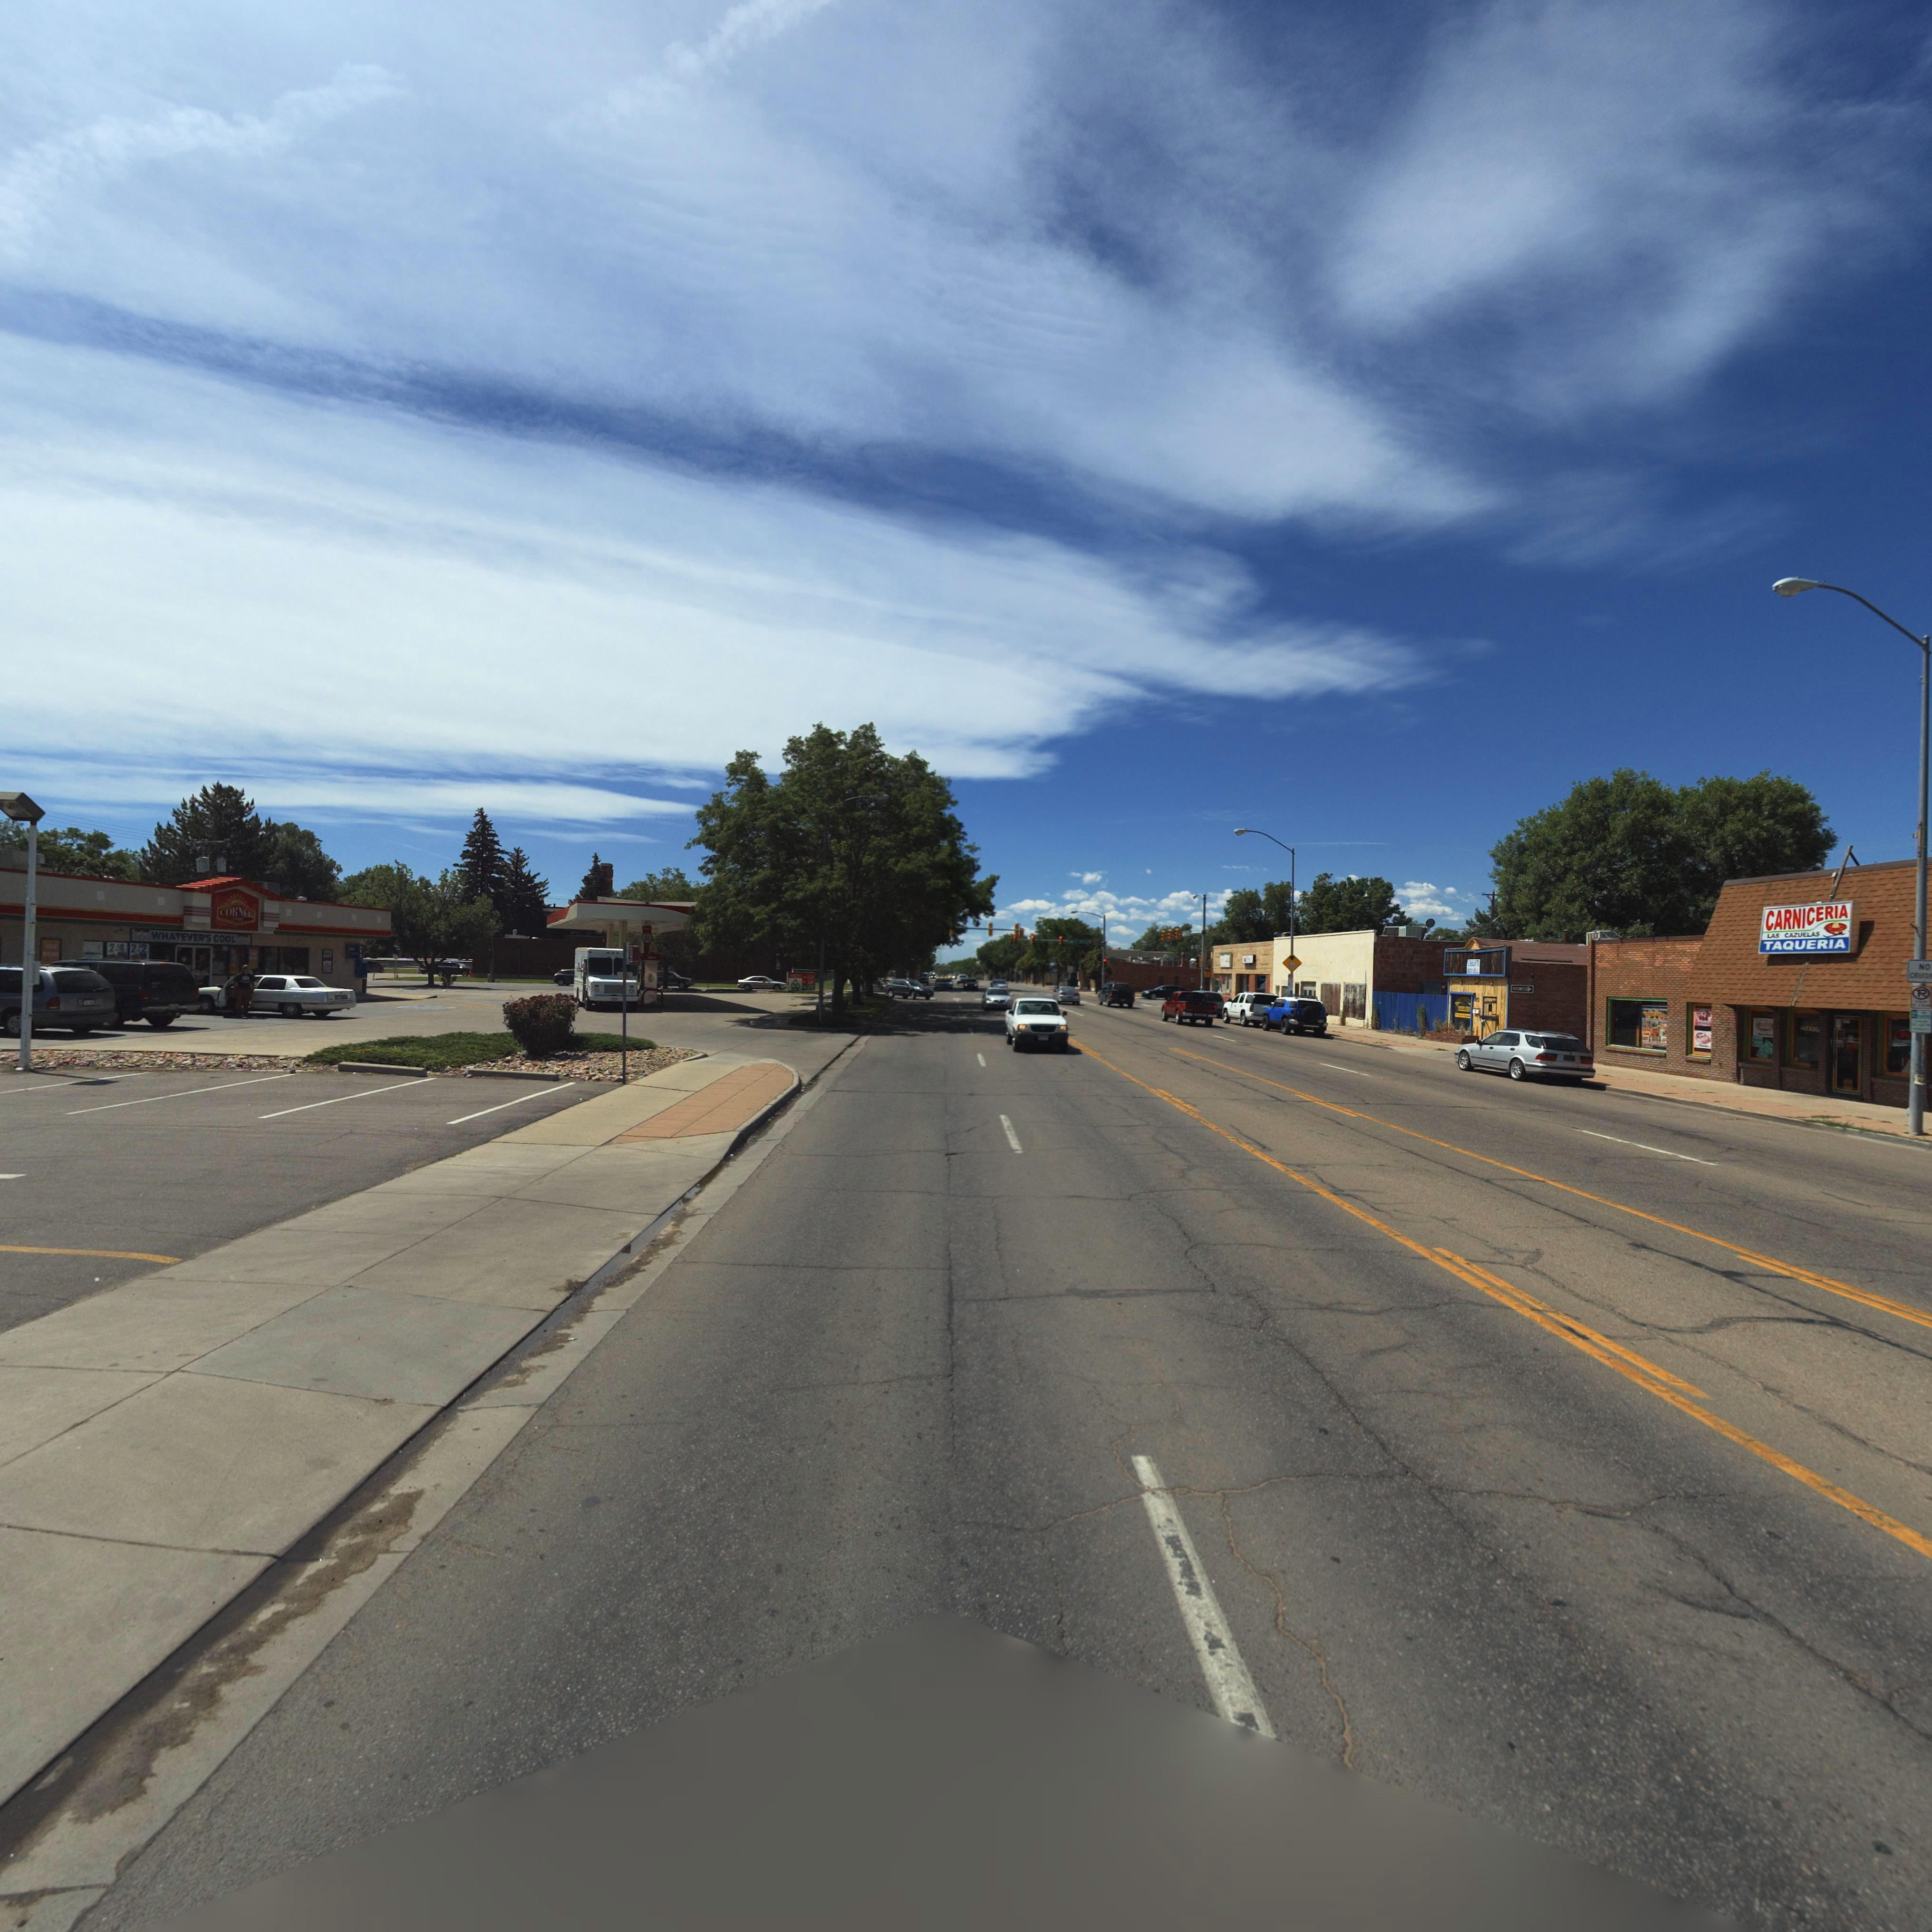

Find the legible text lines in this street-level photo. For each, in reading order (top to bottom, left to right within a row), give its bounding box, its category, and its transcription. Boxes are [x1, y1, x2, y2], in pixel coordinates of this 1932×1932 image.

[220, 906, 252, 918] BusinessName: CORNER
[1765, 904, 1848, 931] BusinessName: CARNICERIA
[1767, 931, 1819, 938] BusinessName: LAS CAZUELAS
[1763, 938, 1846, 950] BusinessName: TAQUERIA